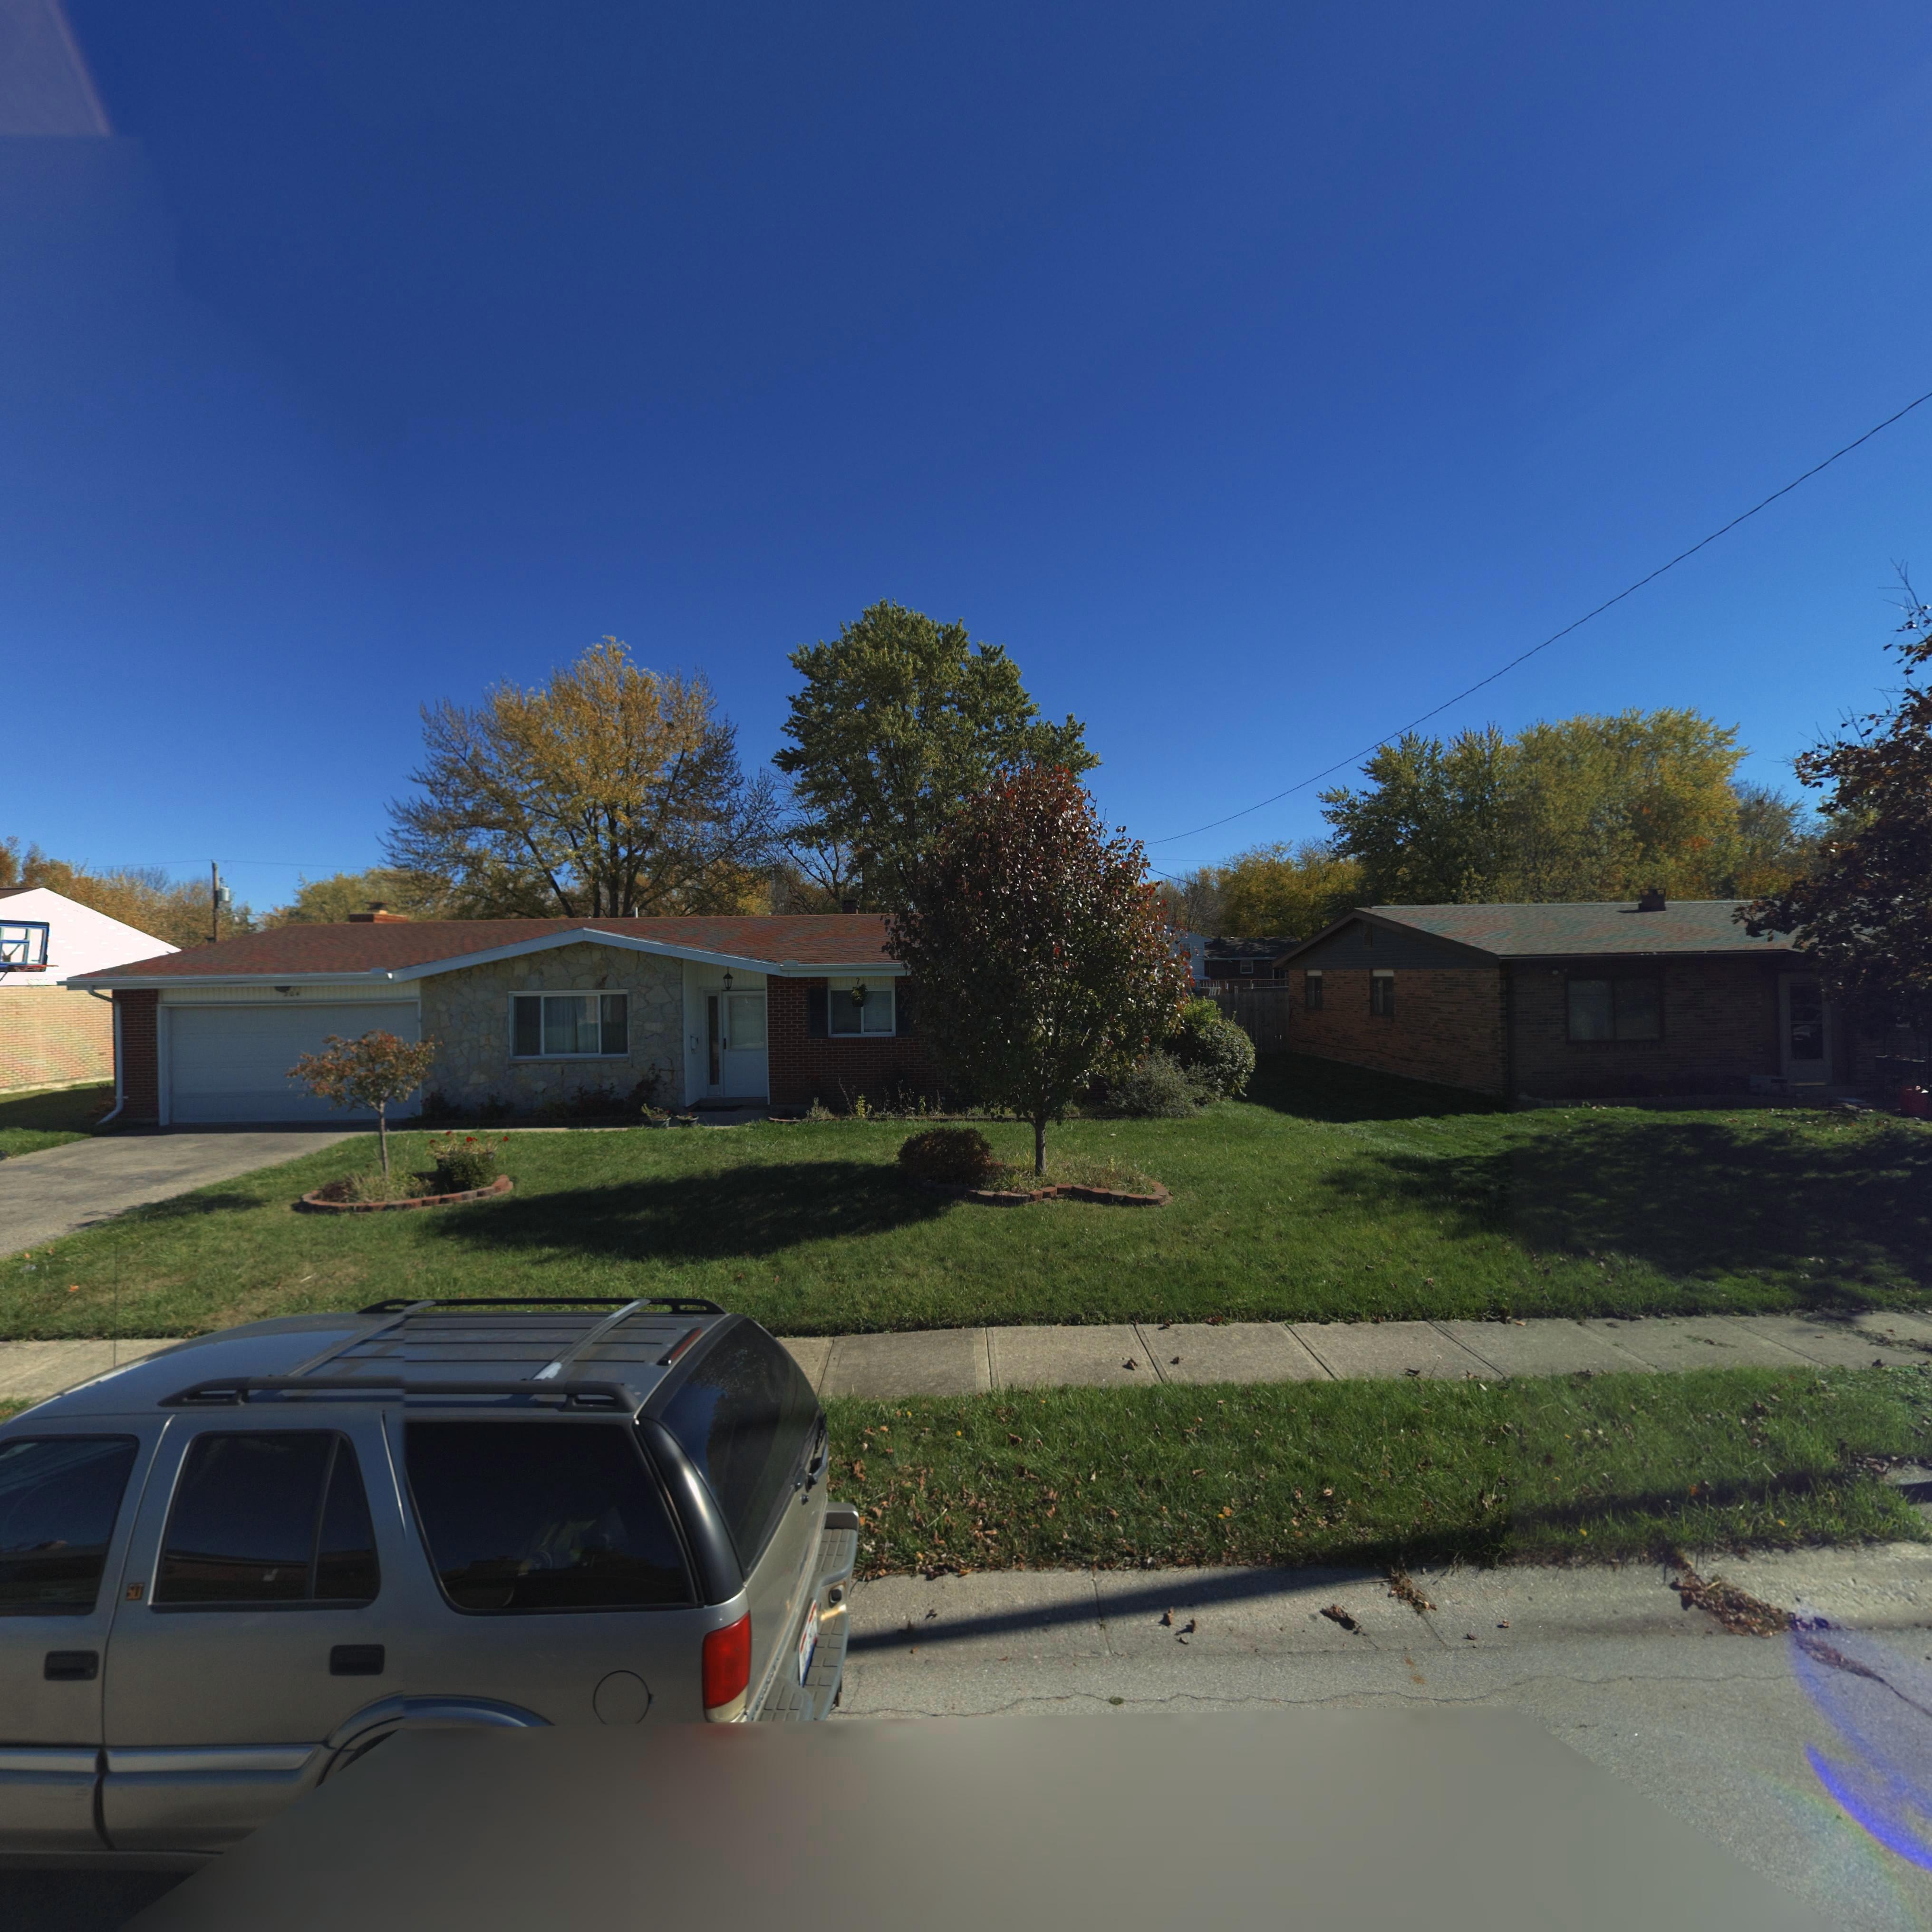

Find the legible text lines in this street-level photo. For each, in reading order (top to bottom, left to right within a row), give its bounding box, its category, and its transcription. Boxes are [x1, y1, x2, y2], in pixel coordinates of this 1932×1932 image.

[283, 990, 300, 997] StreetNumber: 20*